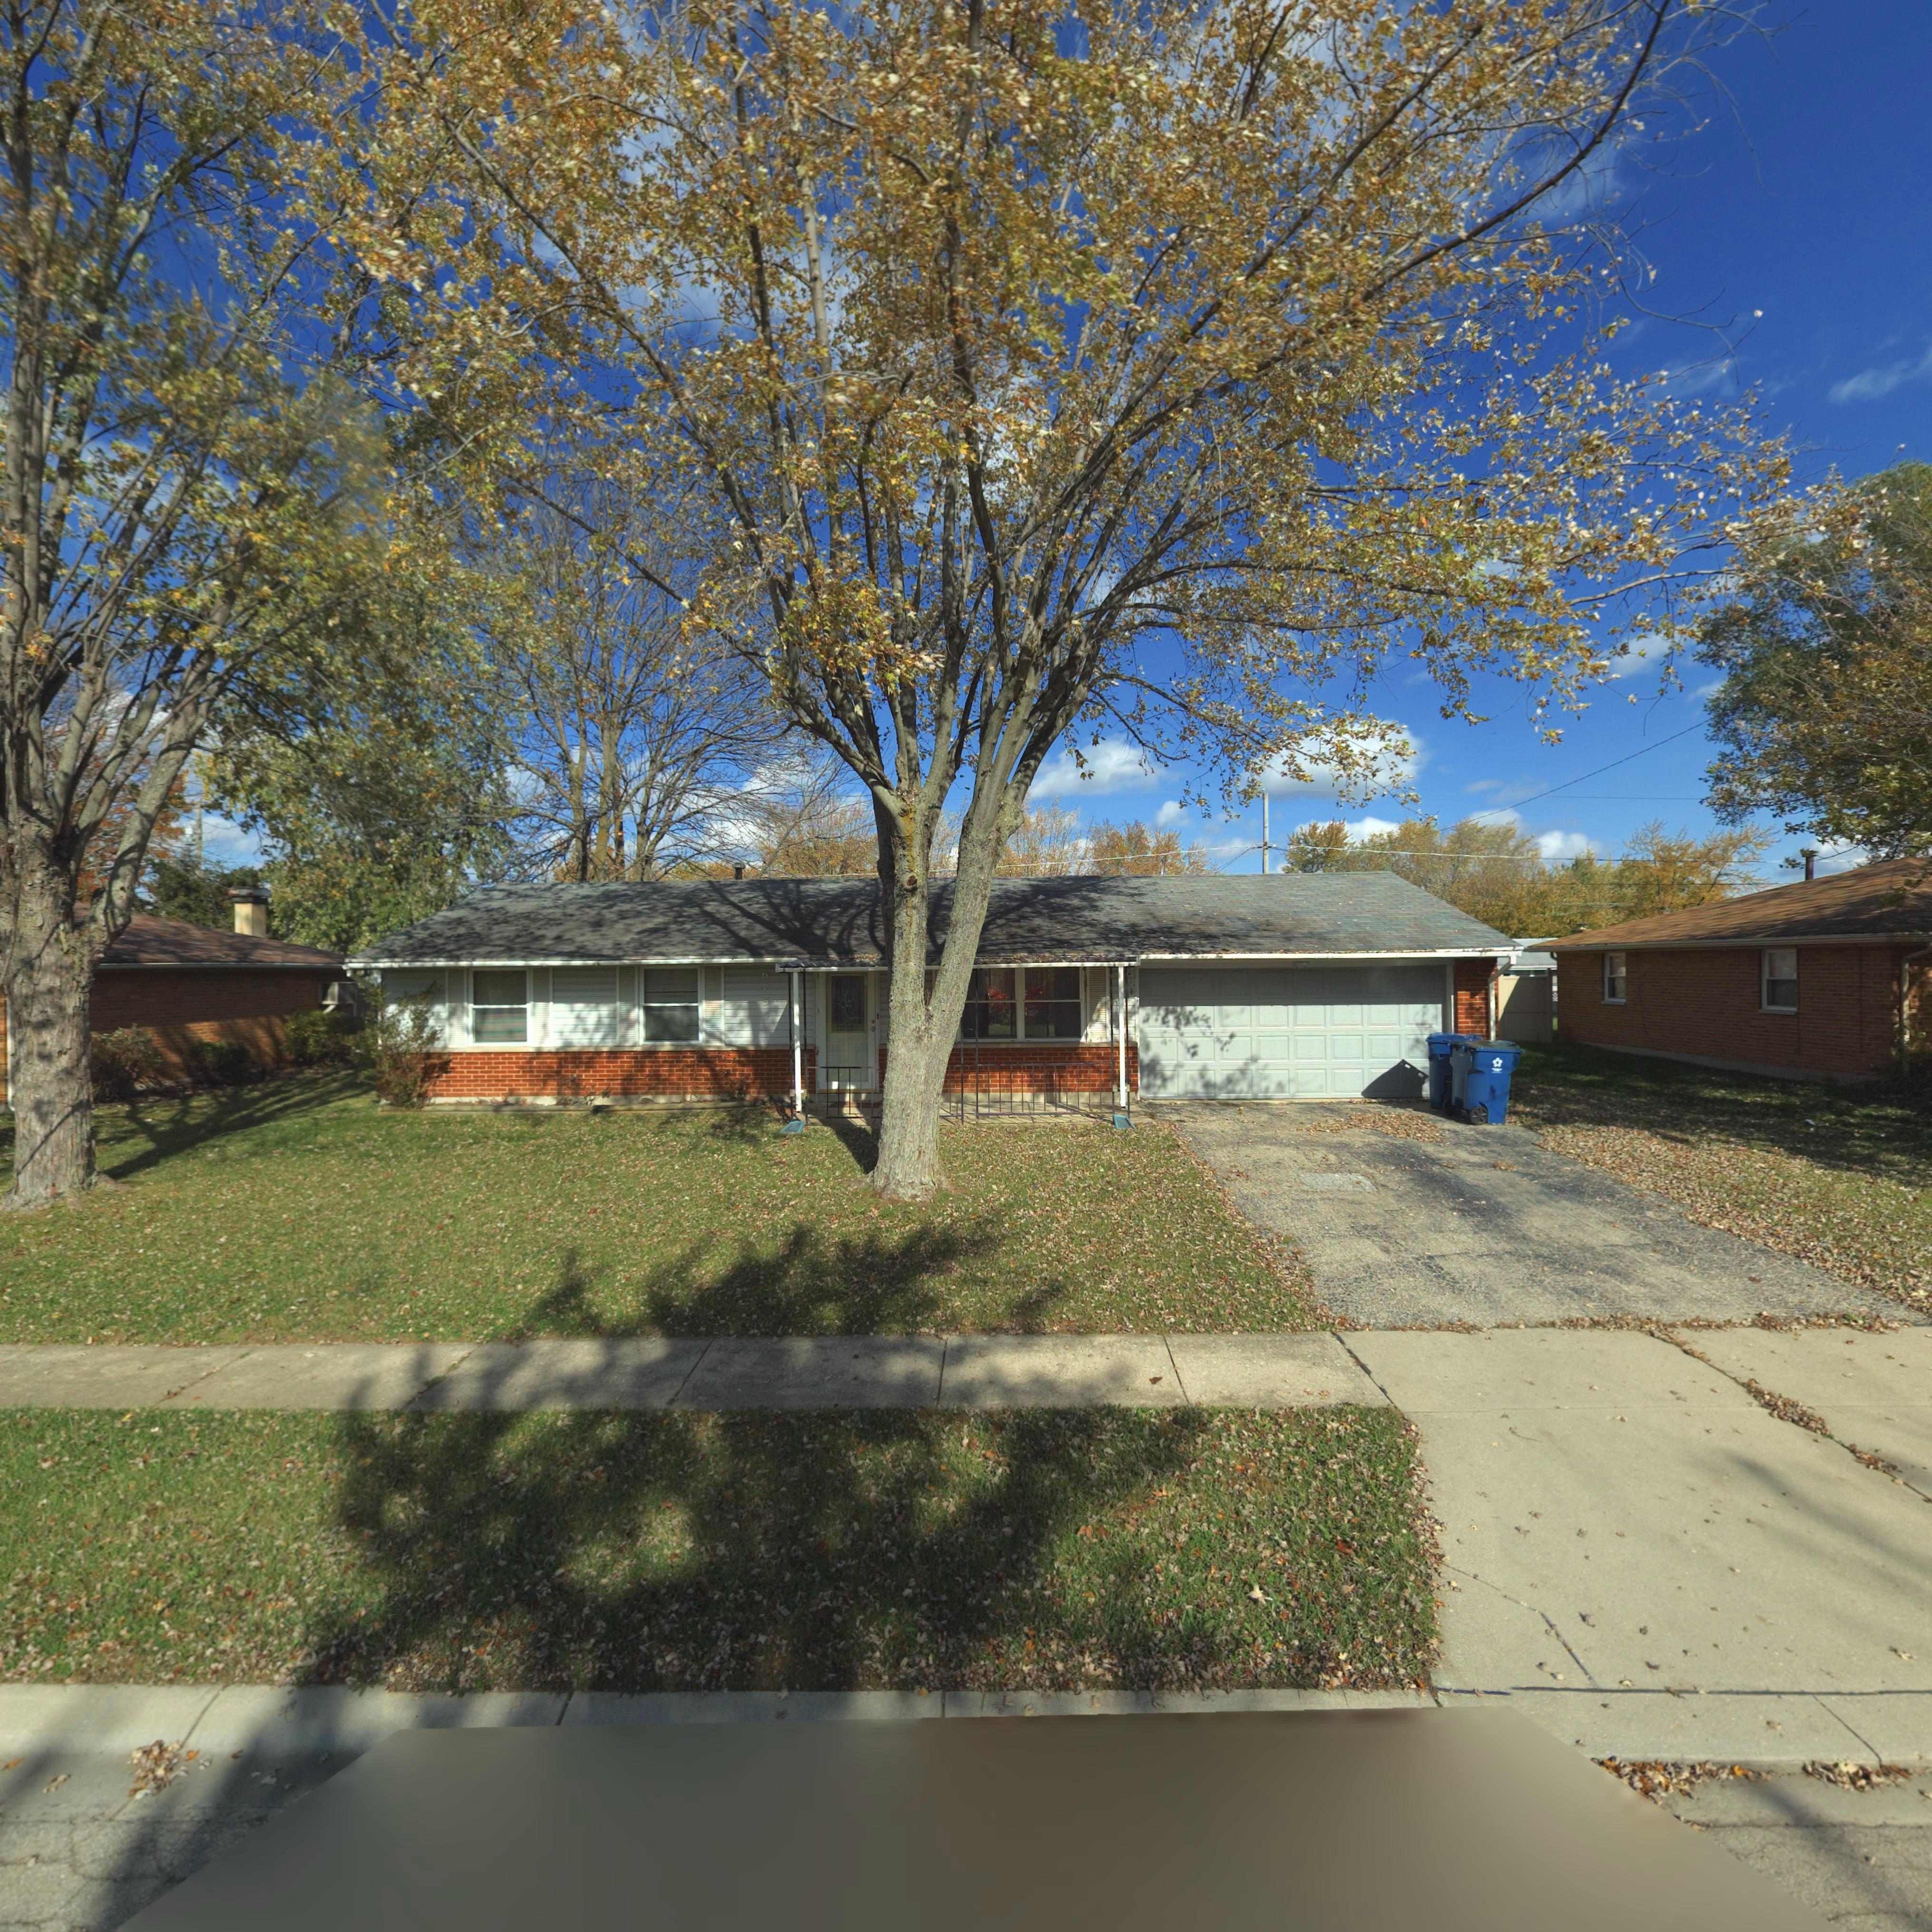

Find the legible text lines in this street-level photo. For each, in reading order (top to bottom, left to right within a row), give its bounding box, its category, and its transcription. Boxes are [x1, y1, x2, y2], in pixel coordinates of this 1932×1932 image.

[761, 968, 769, 1021] StreetNumber: 6751